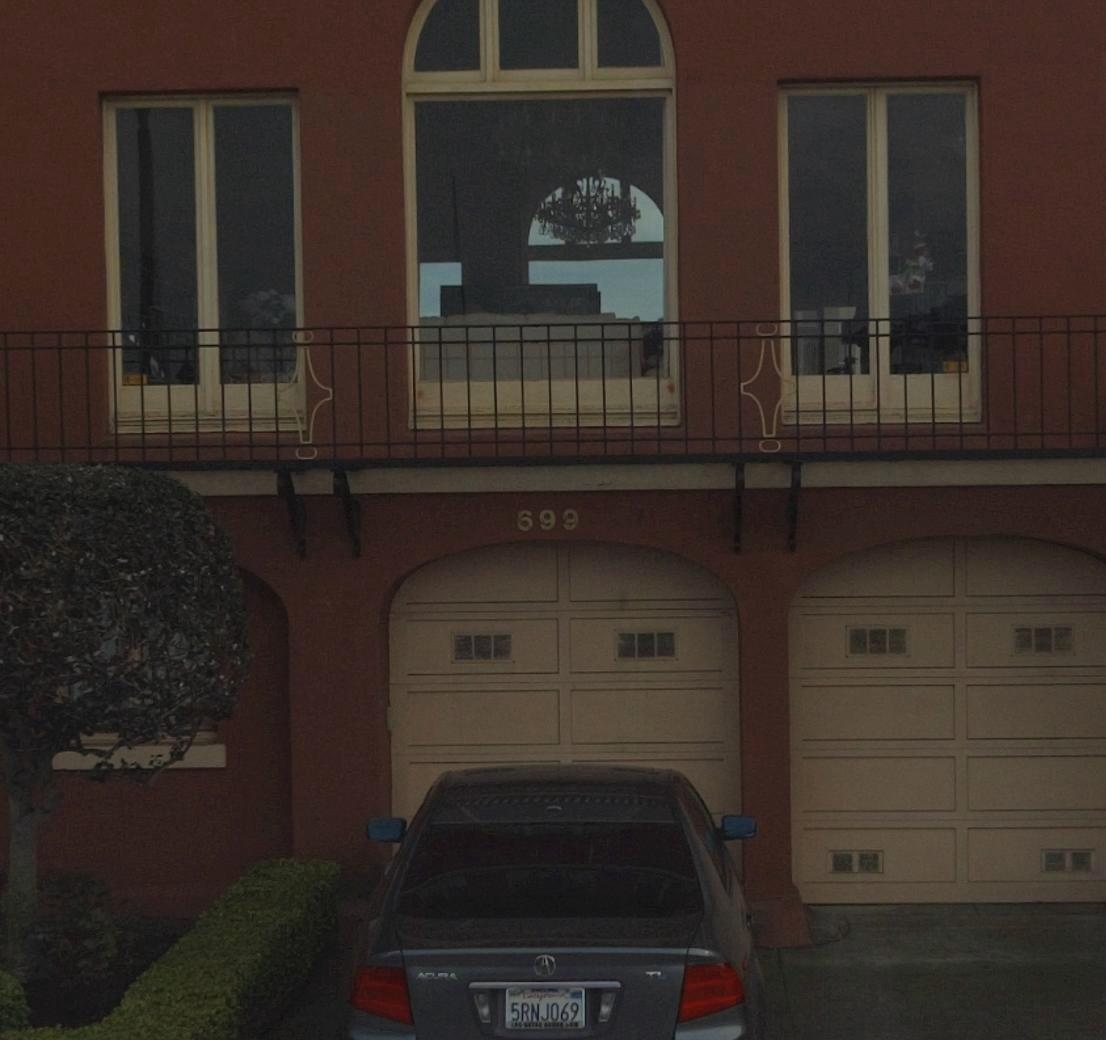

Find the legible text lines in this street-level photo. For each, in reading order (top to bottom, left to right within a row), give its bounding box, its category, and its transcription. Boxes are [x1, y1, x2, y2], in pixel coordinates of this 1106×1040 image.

[515, 507, 581, 533] StreetNumber: 699
[411, 964, 463, 987] None: ACURA
[506, 997, 581, 1024] None: 5RNJ069